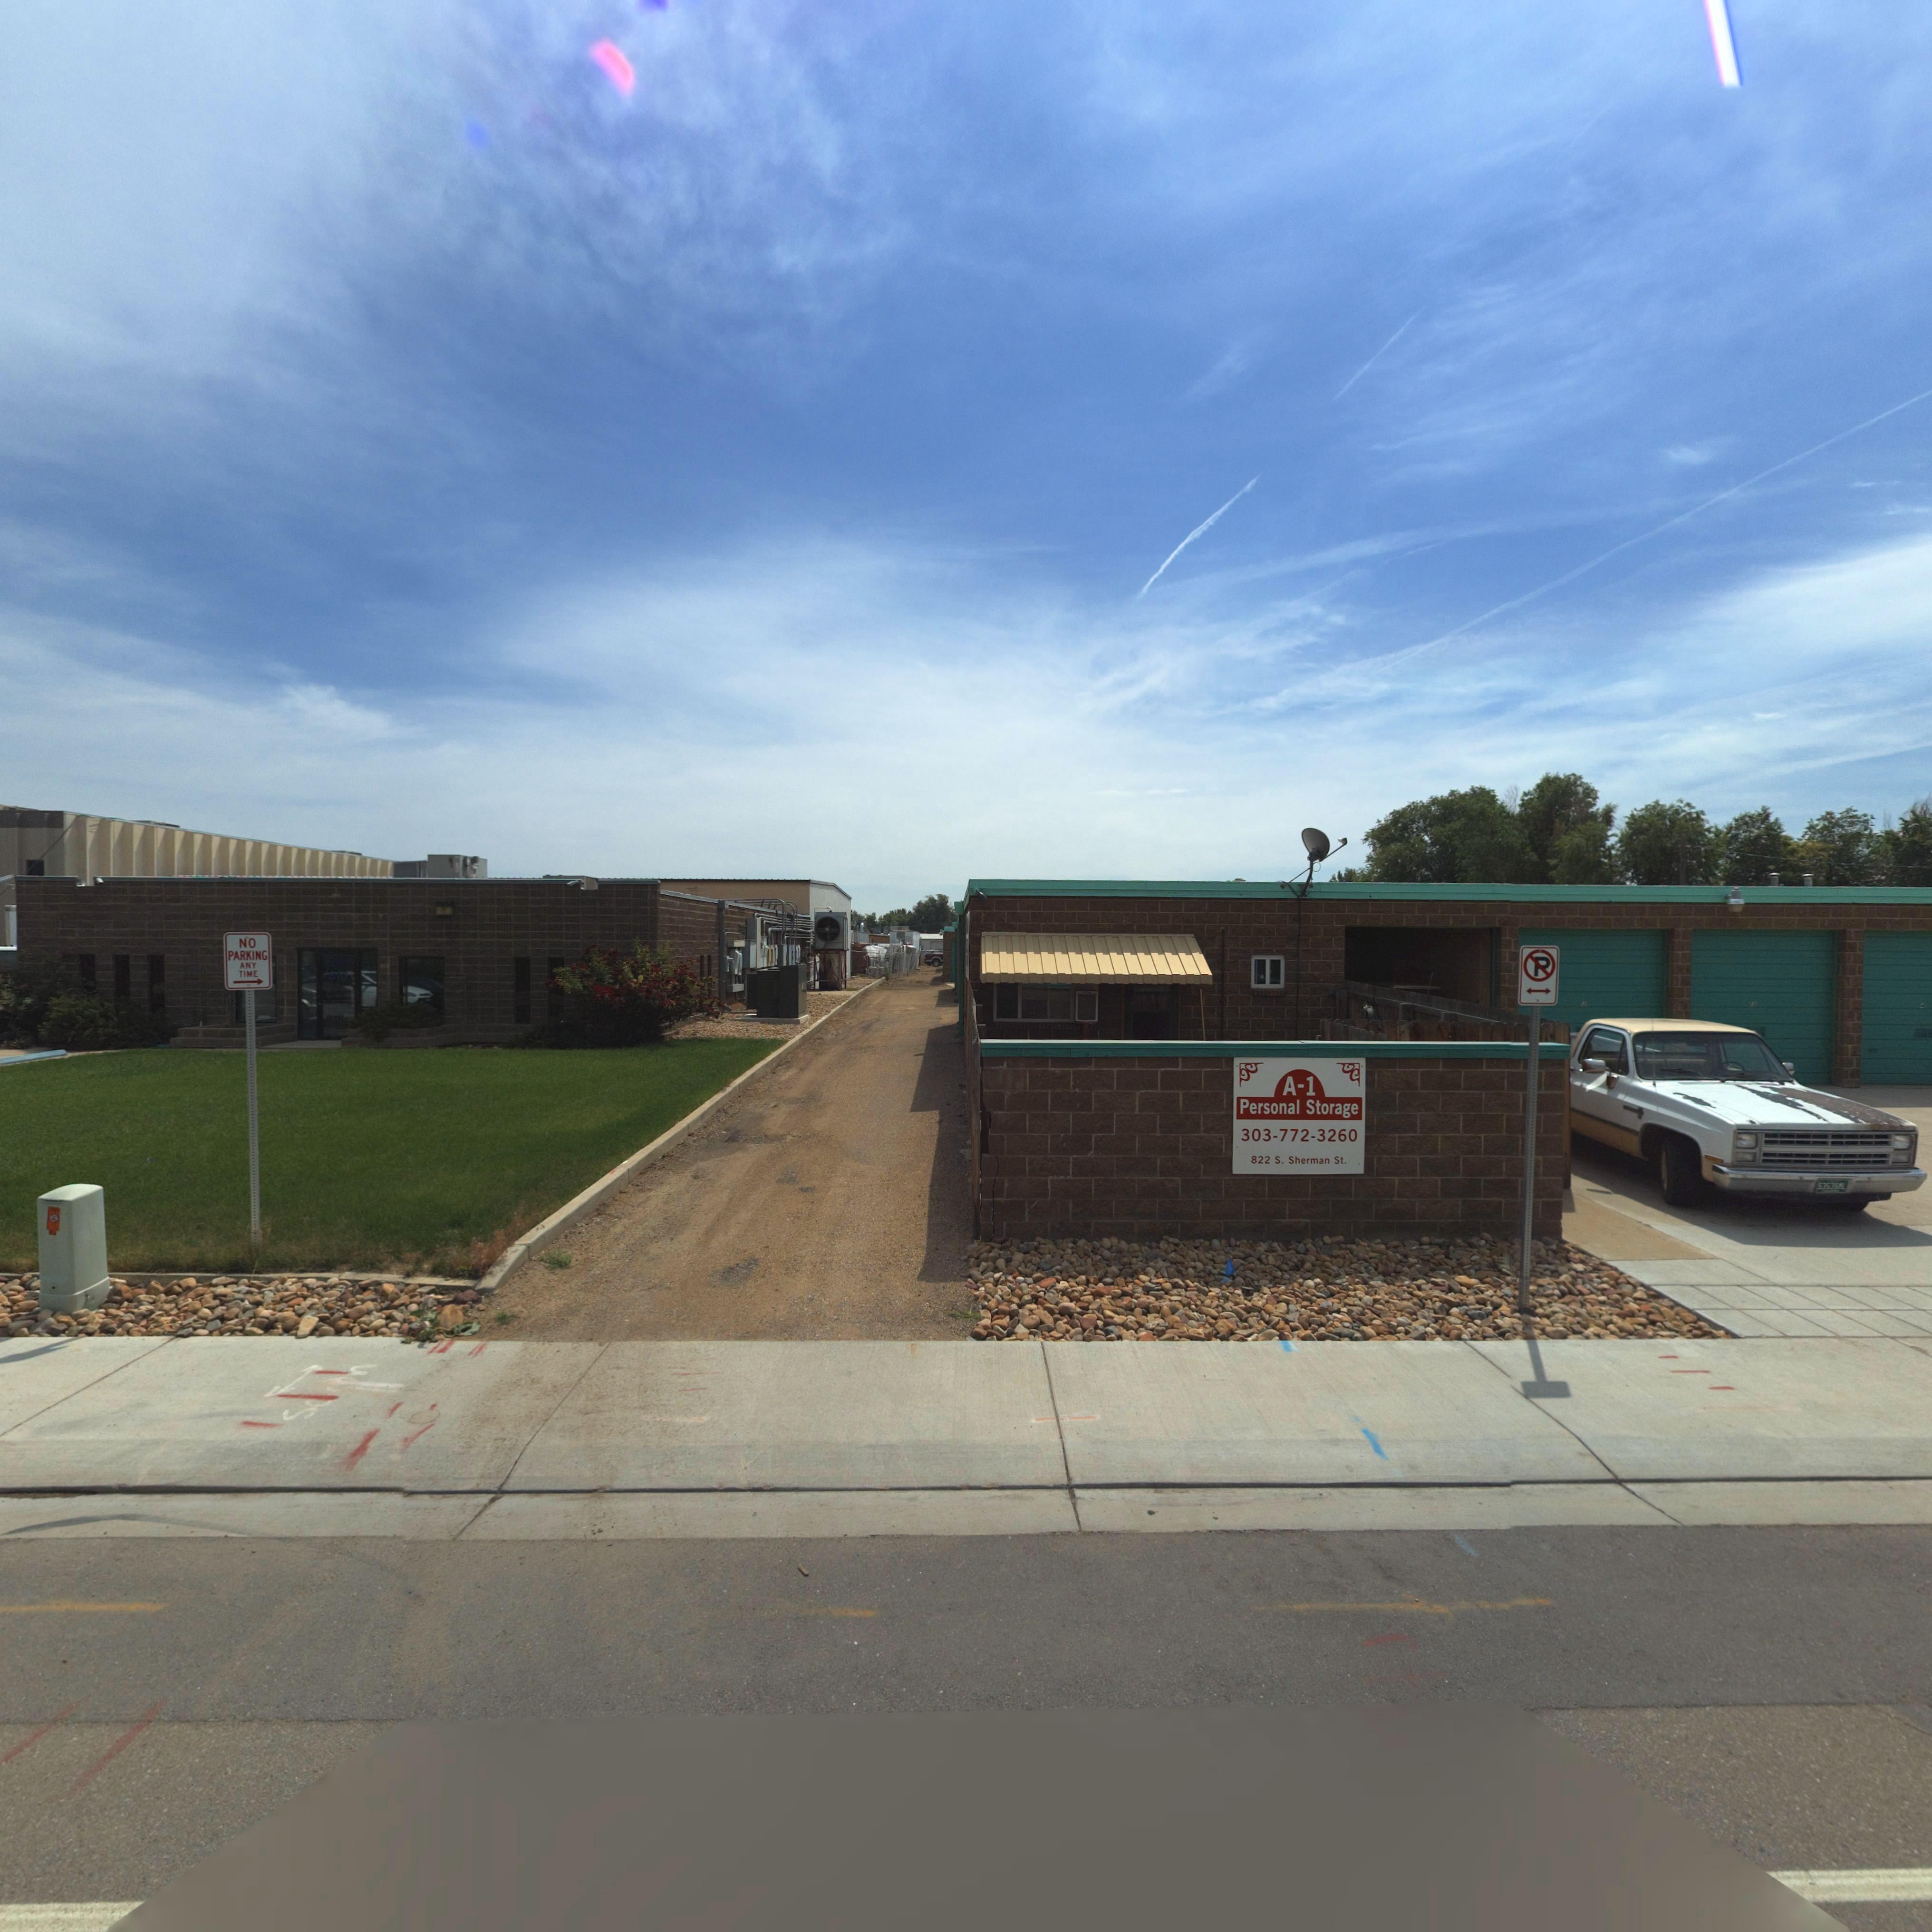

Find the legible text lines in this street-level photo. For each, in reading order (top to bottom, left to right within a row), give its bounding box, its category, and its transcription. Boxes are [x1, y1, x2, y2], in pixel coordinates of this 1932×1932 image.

[1282, 1076, 1315, 1096] BusinessName: A-1
[1239, 1098, 1359, 1118] BusinessName: Personal Storage
[1251, 1155, 1270, 1164] StreetNumber: 822
[1274, 1156, 1347, 1164] StreetName: S. Sherman St.